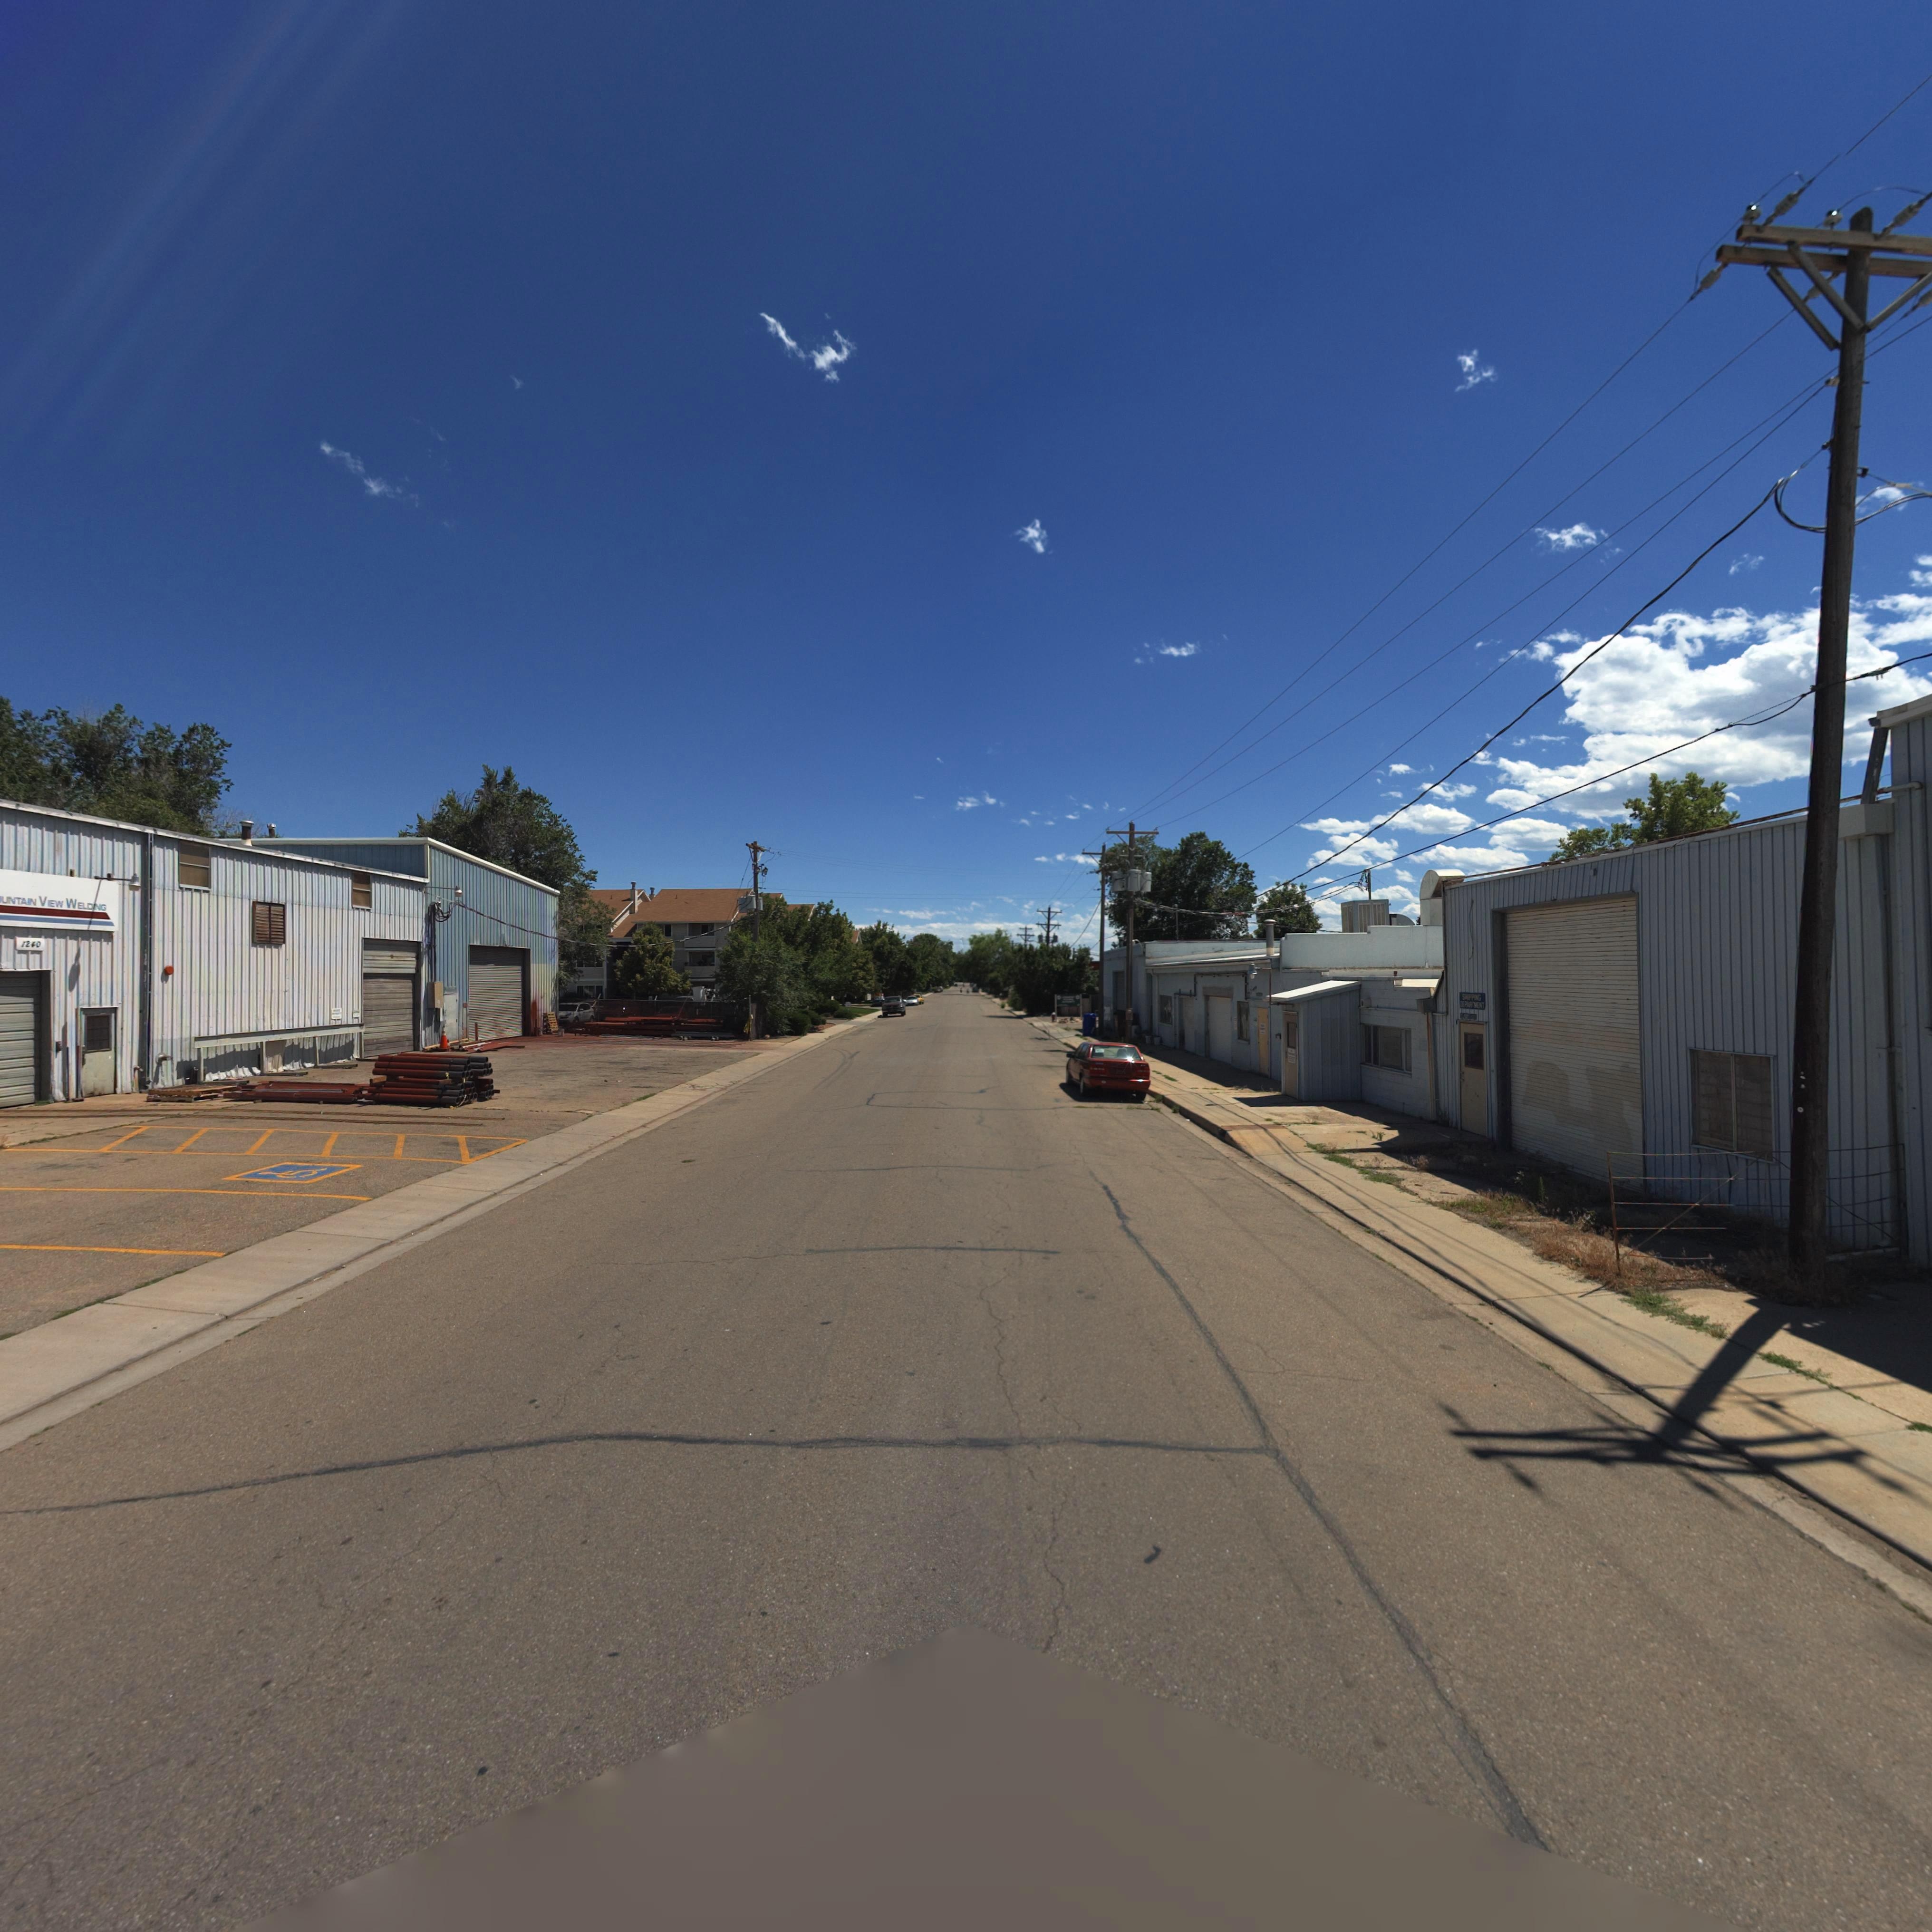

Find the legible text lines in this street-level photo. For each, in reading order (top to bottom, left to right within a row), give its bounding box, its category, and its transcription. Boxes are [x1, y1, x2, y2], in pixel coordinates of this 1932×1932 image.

[0, 895, 107, 912] BusinessName: UNTAIN VIEW WELDING
[20, 940, 41, 948] StreetNumber: 12*0